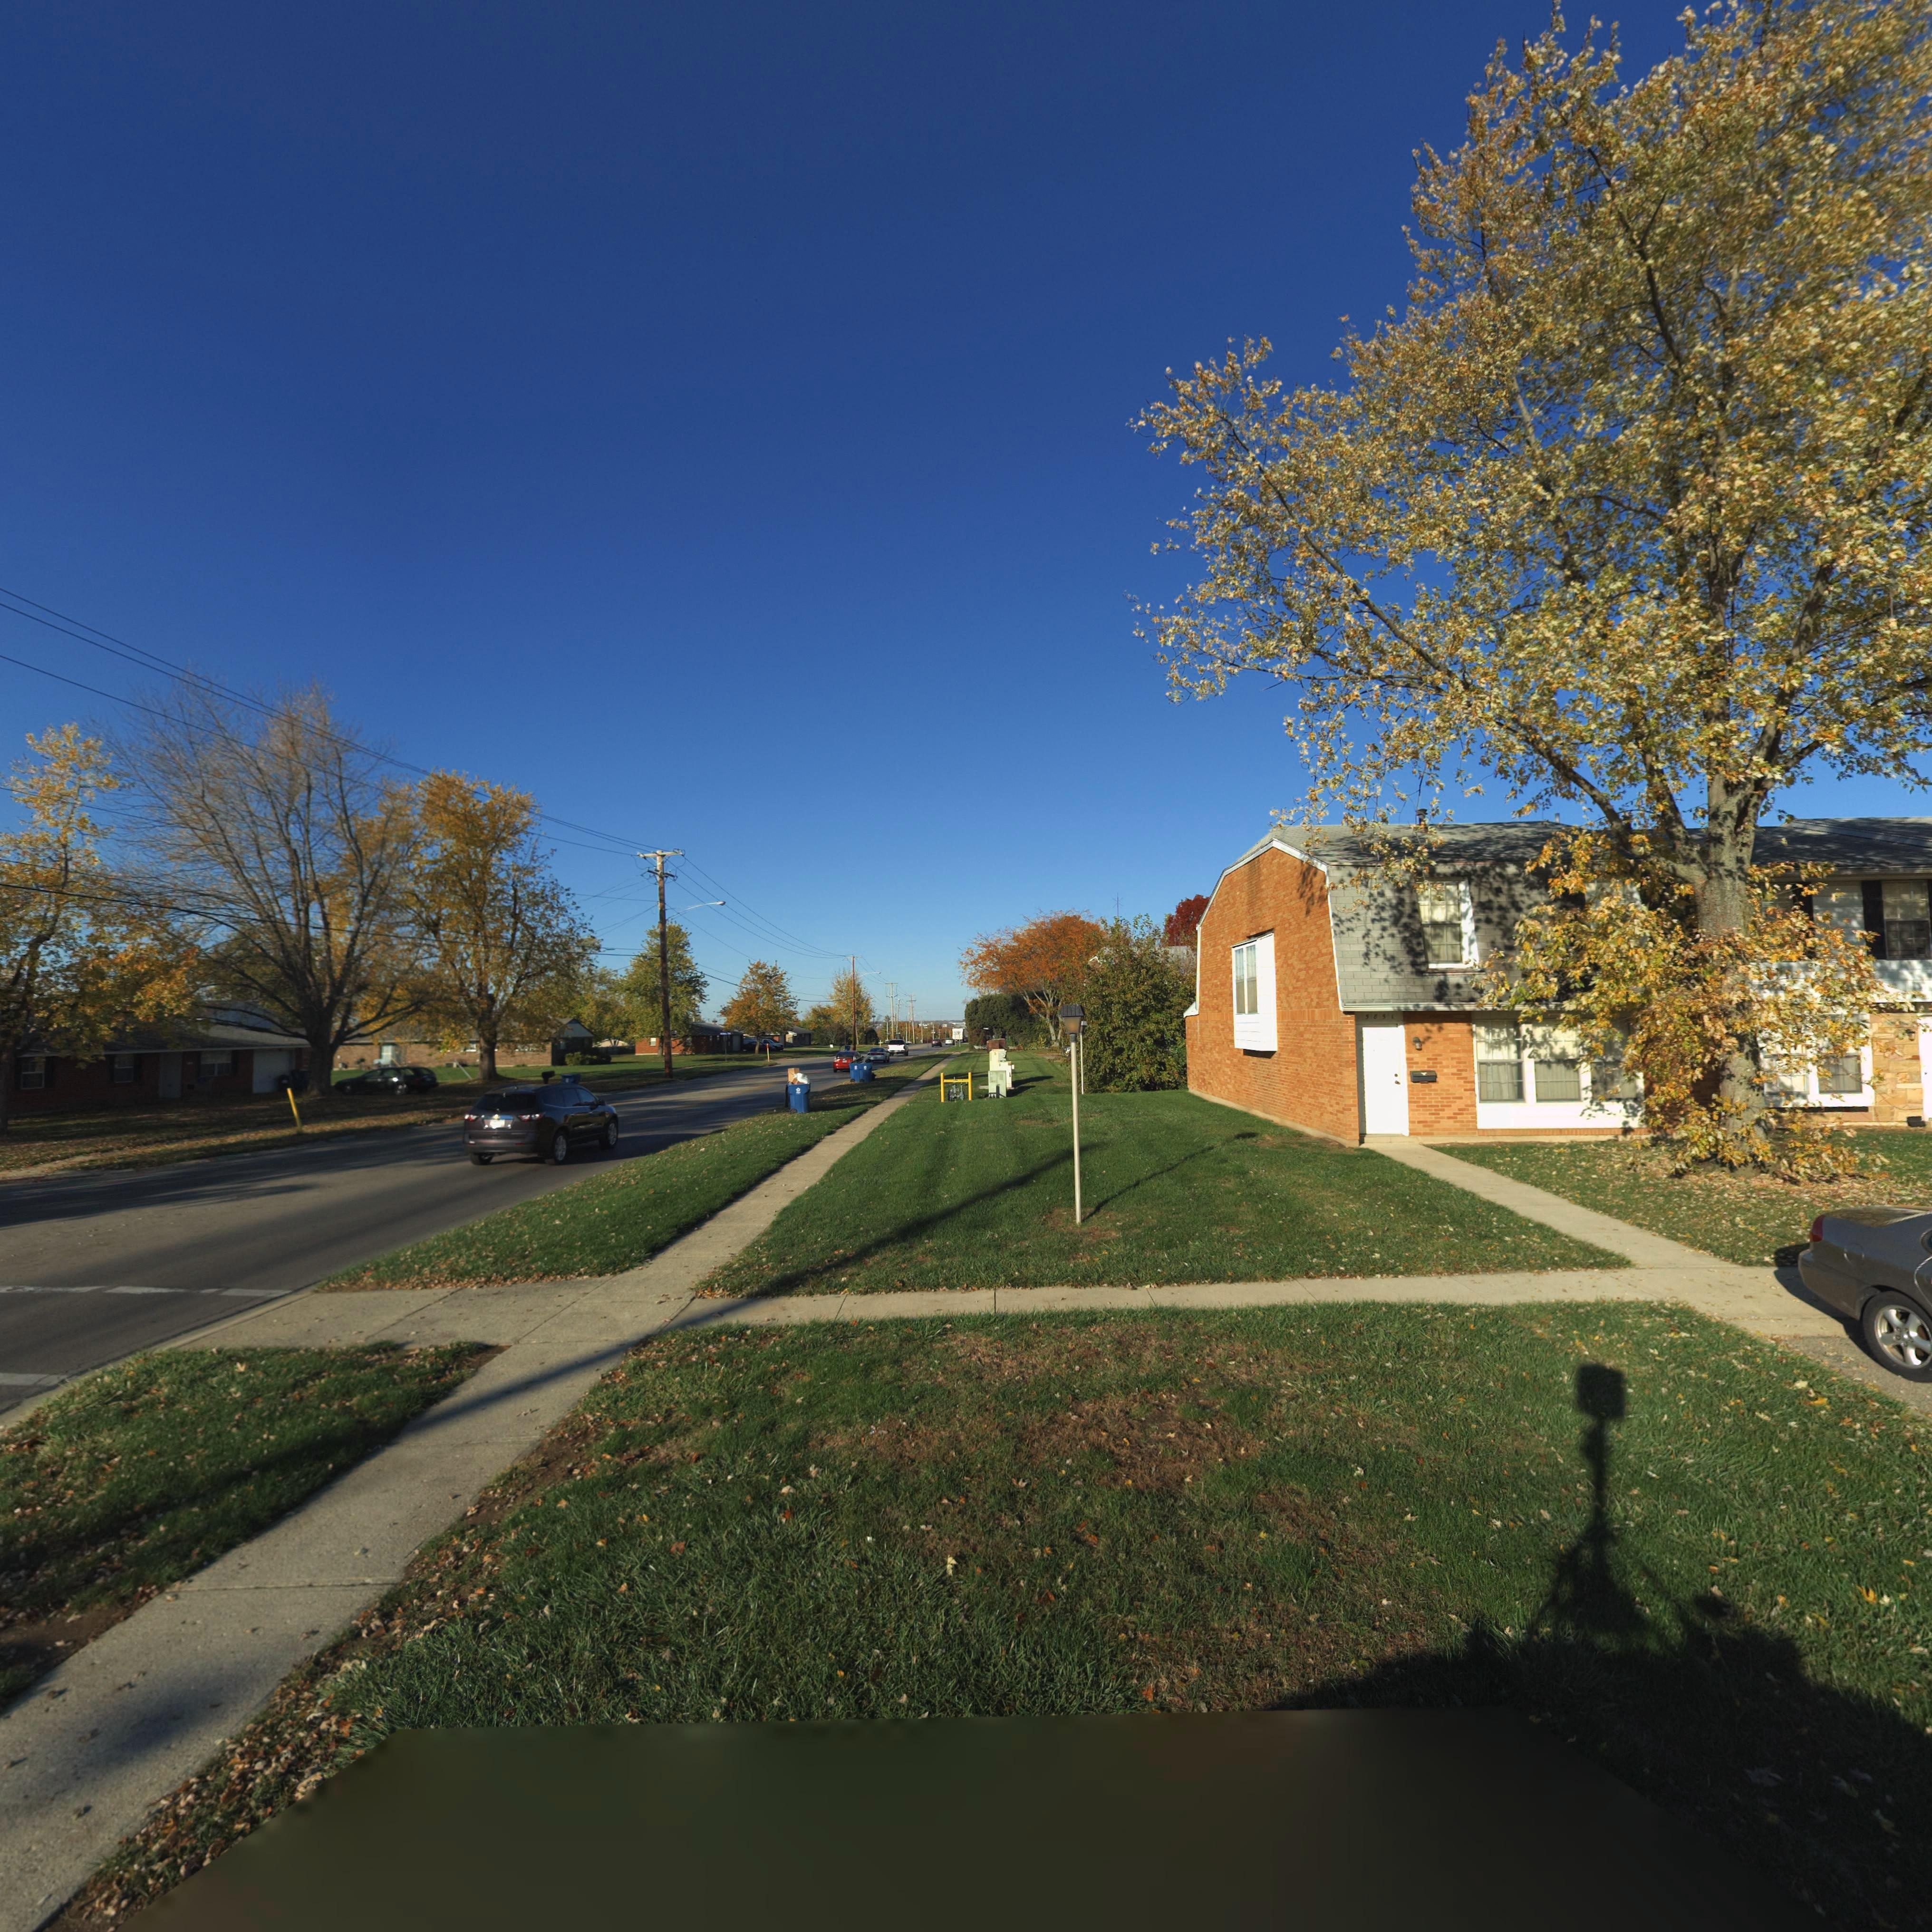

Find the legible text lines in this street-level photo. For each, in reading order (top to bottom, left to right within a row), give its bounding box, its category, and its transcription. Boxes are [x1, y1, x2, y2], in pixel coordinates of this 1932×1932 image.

[1364, 1013, 1395, 1020] StreetNumber: *851